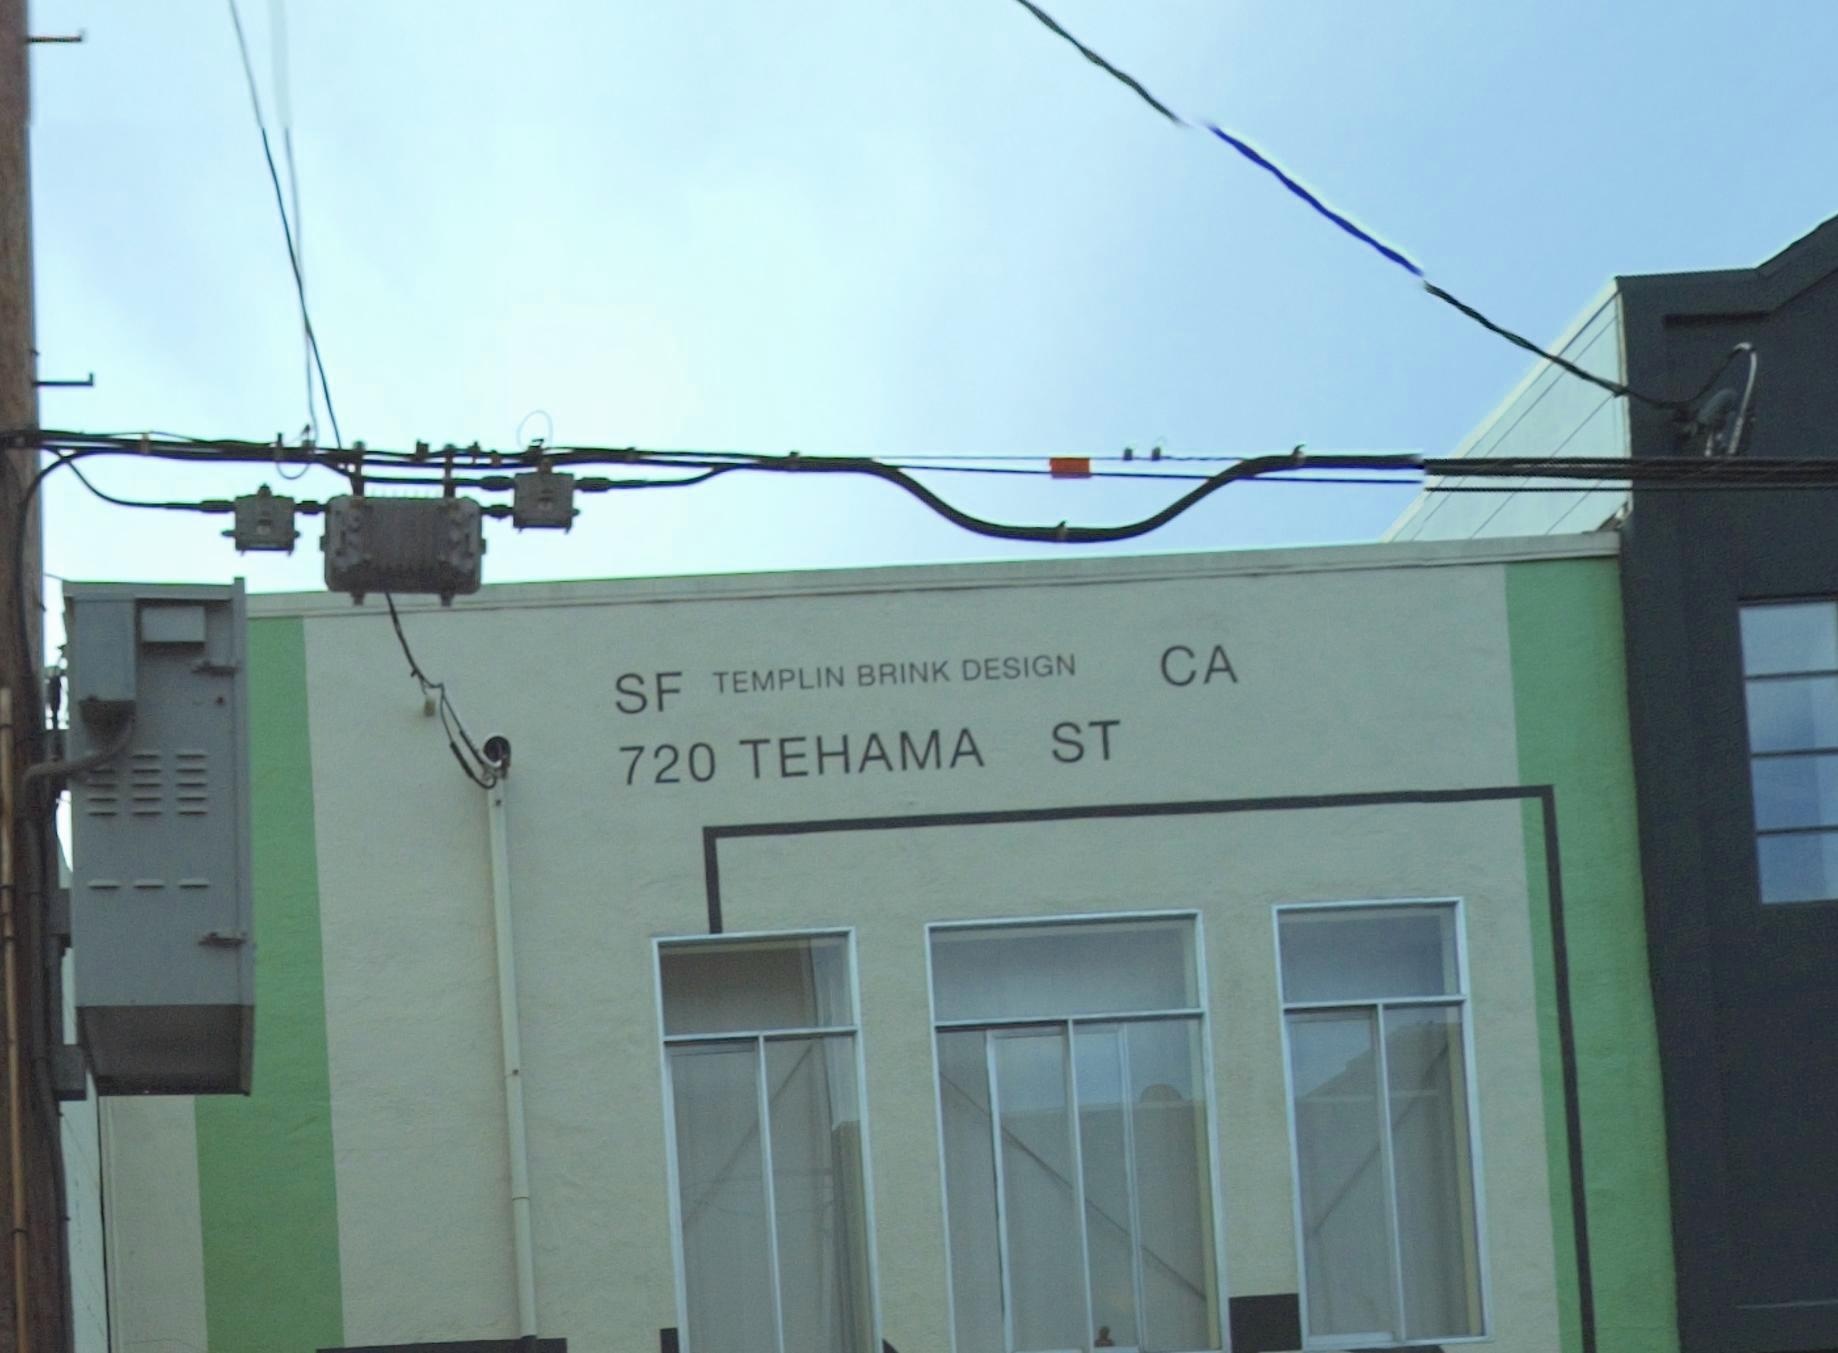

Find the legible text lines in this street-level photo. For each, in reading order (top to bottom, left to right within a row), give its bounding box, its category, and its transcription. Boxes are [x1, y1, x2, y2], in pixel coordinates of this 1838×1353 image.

[611, 667, 686, 718] None: SF
[707, 649, 1081, 698] BusinessName: TEMPLIN BRINK DESIGN
[1157, 640, 1243, 690] None: CA
[614, 737, 719, 790] StreetNumber: 720
[733, 715, 1125, 784] StreetName: TEHAMA ST